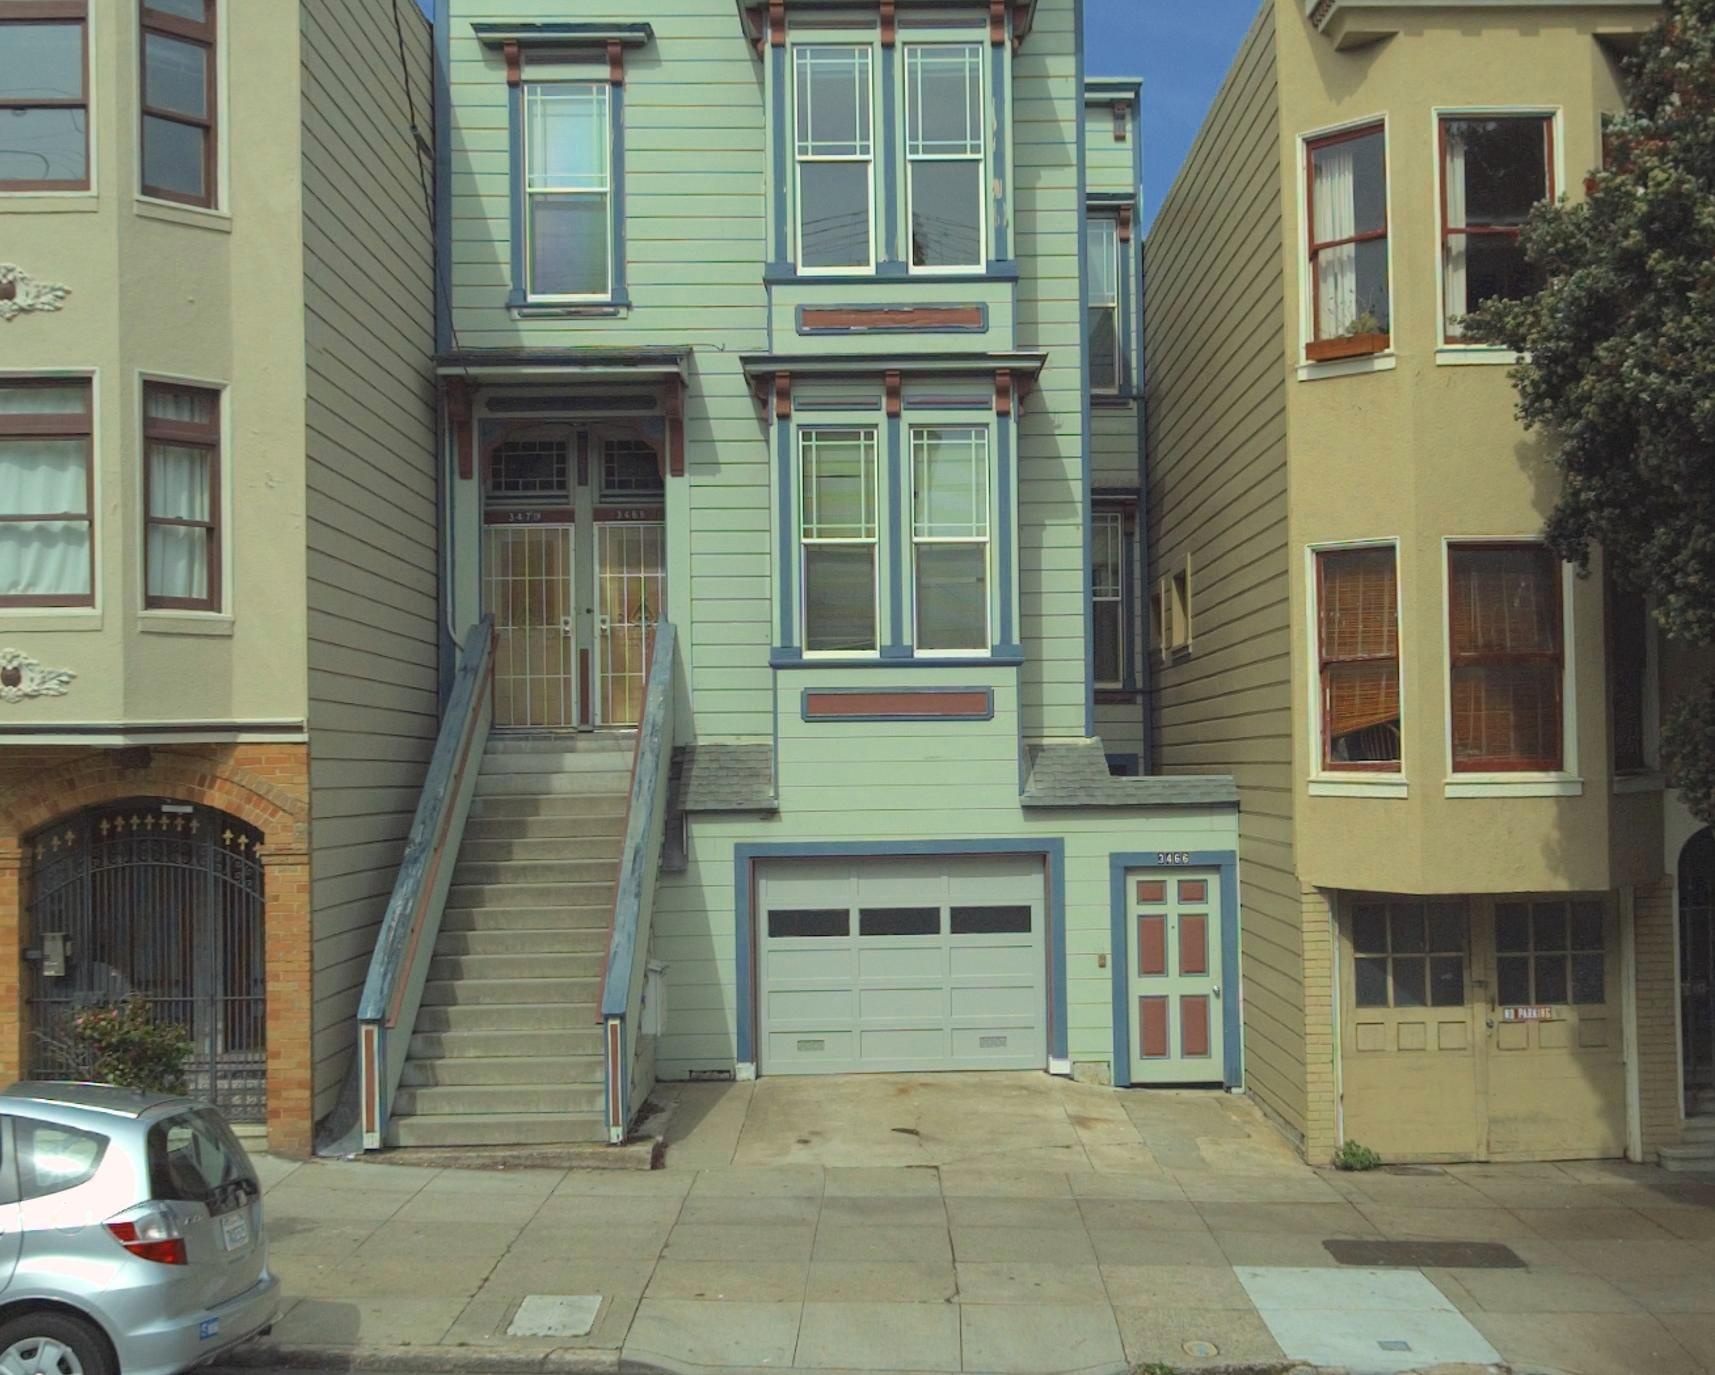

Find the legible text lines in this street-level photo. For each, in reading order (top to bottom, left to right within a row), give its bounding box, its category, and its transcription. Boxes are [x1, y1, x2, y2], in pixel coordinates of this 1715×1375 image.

[508, 512, 541, 522] StreetNumber: 3470
[616, 509, 646, 519] StreetNumber: 3468
[1158, 852, 1190, 865] StreetNumber: 3466
[1502, 1008, 1551, 1019] None: NO PARKING